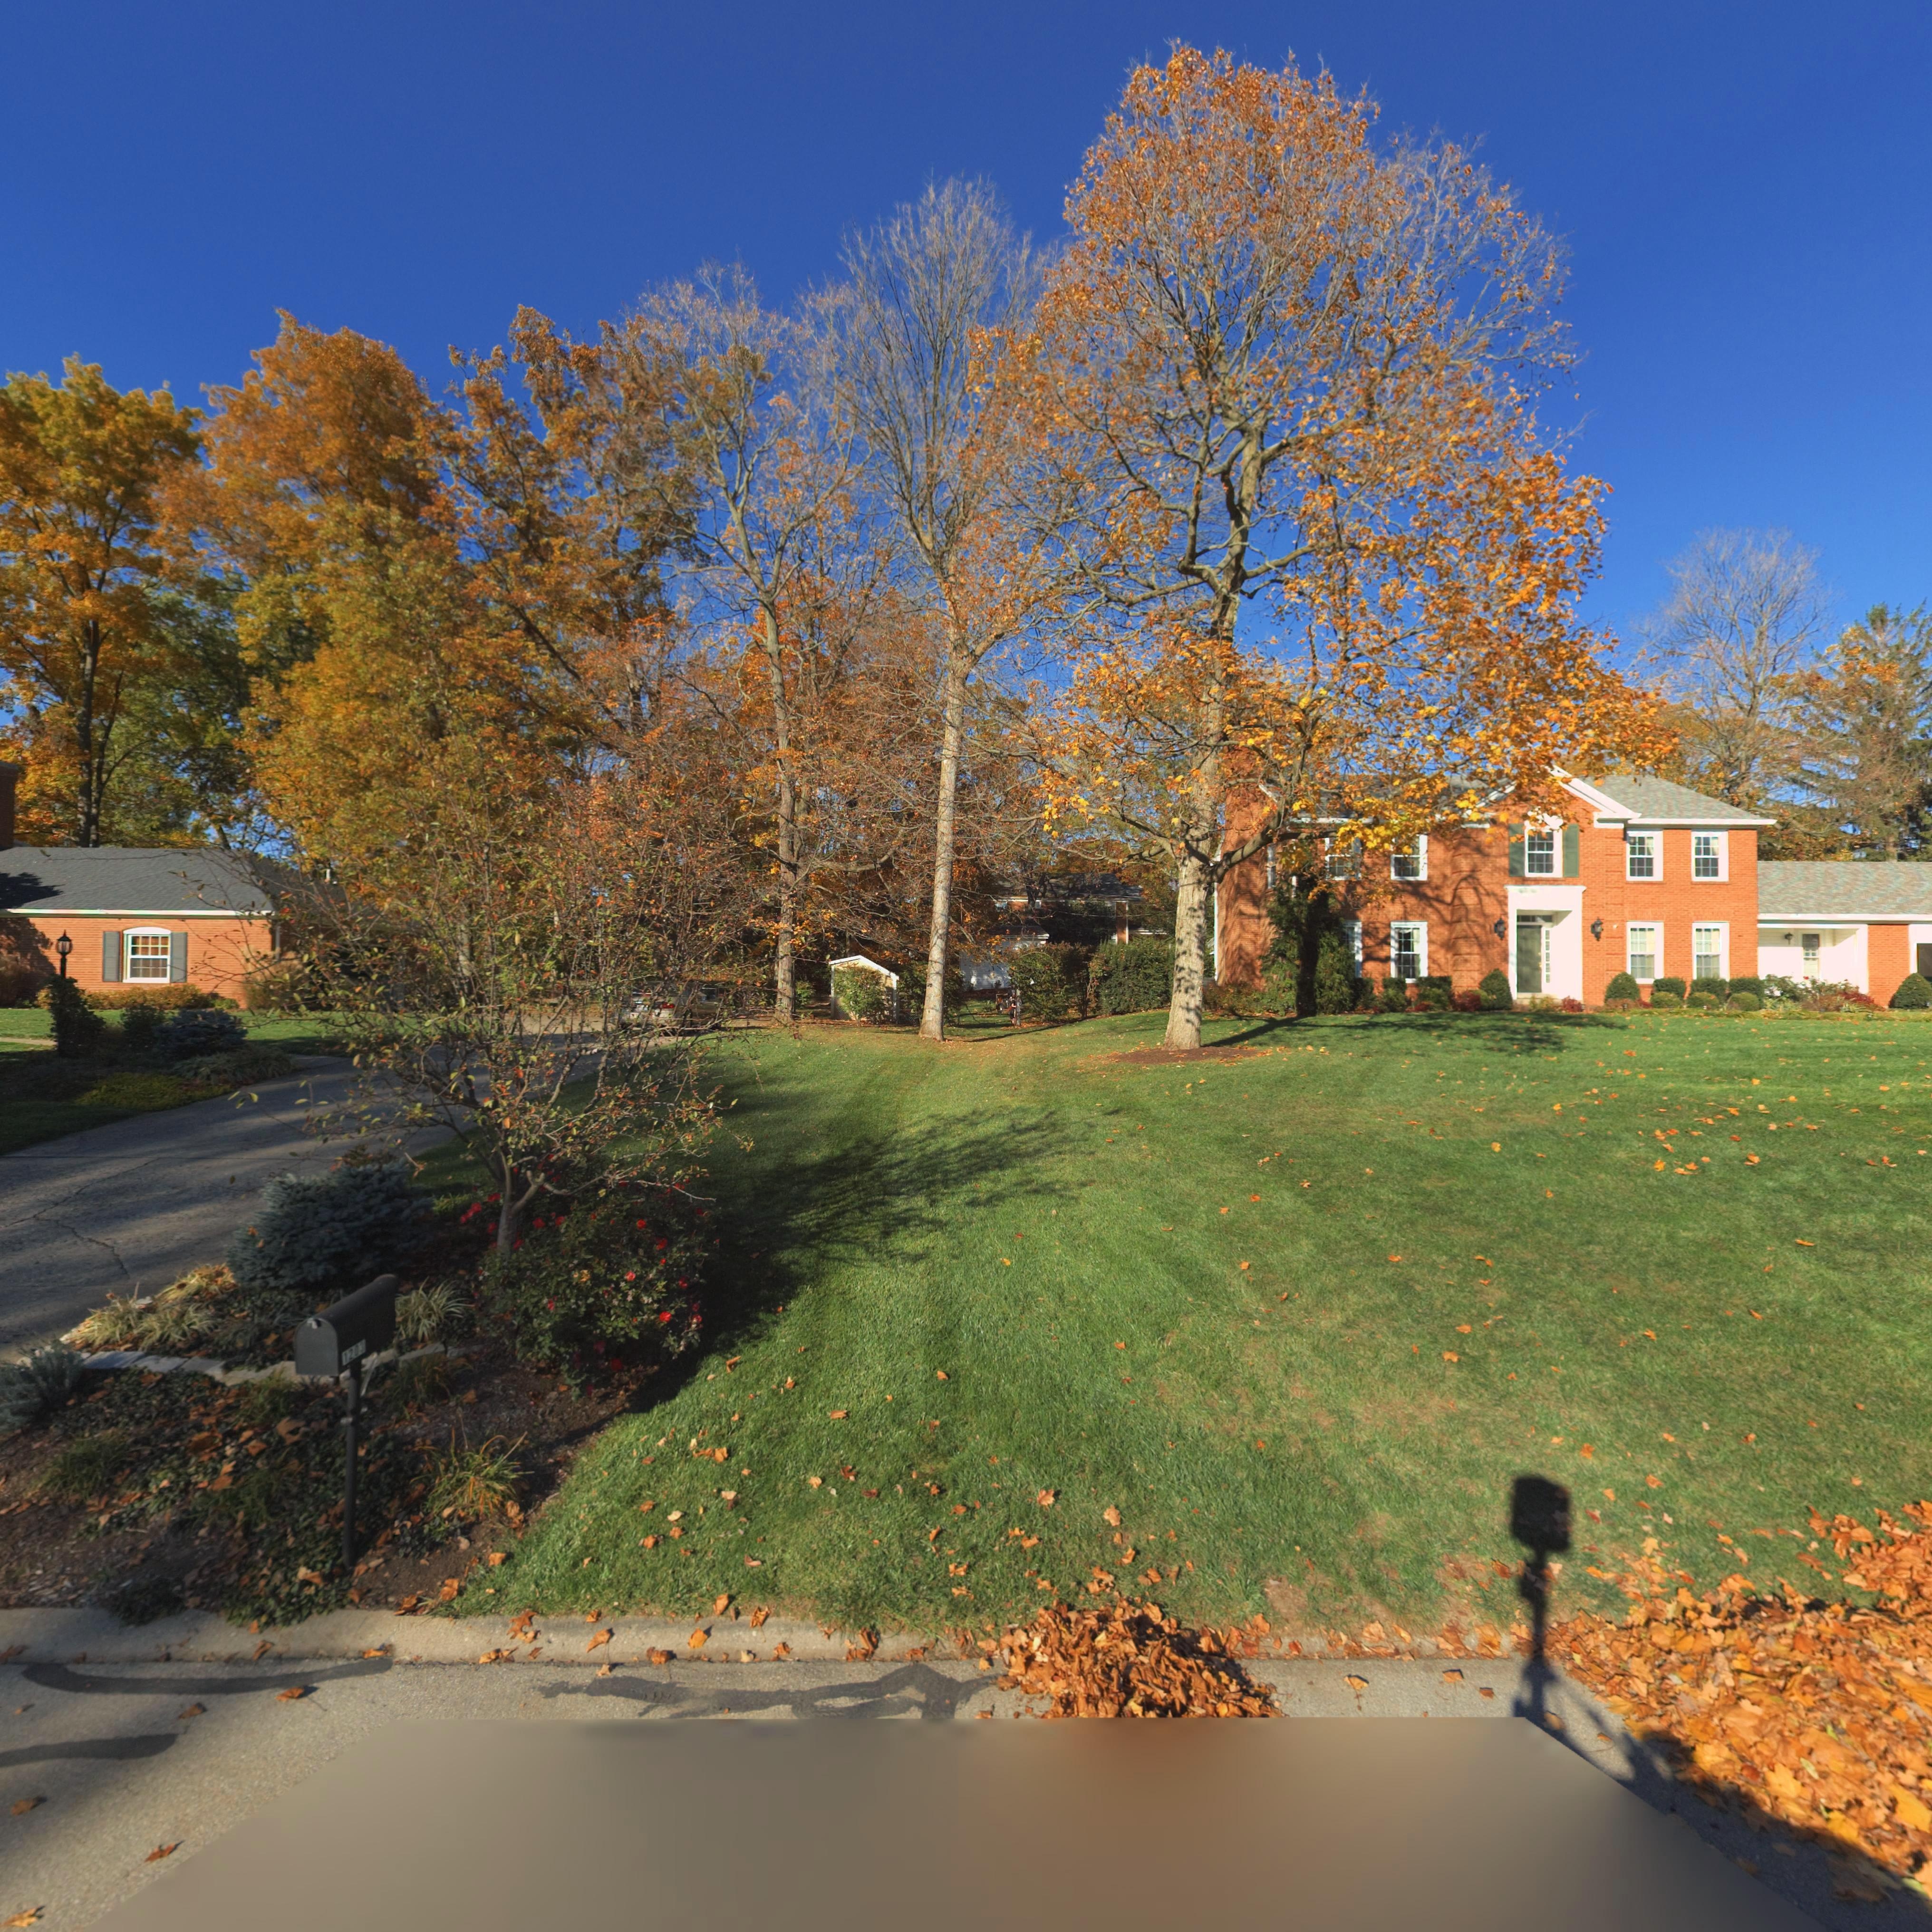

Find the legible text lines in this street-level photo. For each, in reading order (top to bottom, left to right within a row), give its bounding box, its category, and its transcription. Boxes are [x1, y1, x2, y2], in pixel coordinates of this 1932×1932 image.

[343, 1339, 366, 1365] StreetNumber: 1203